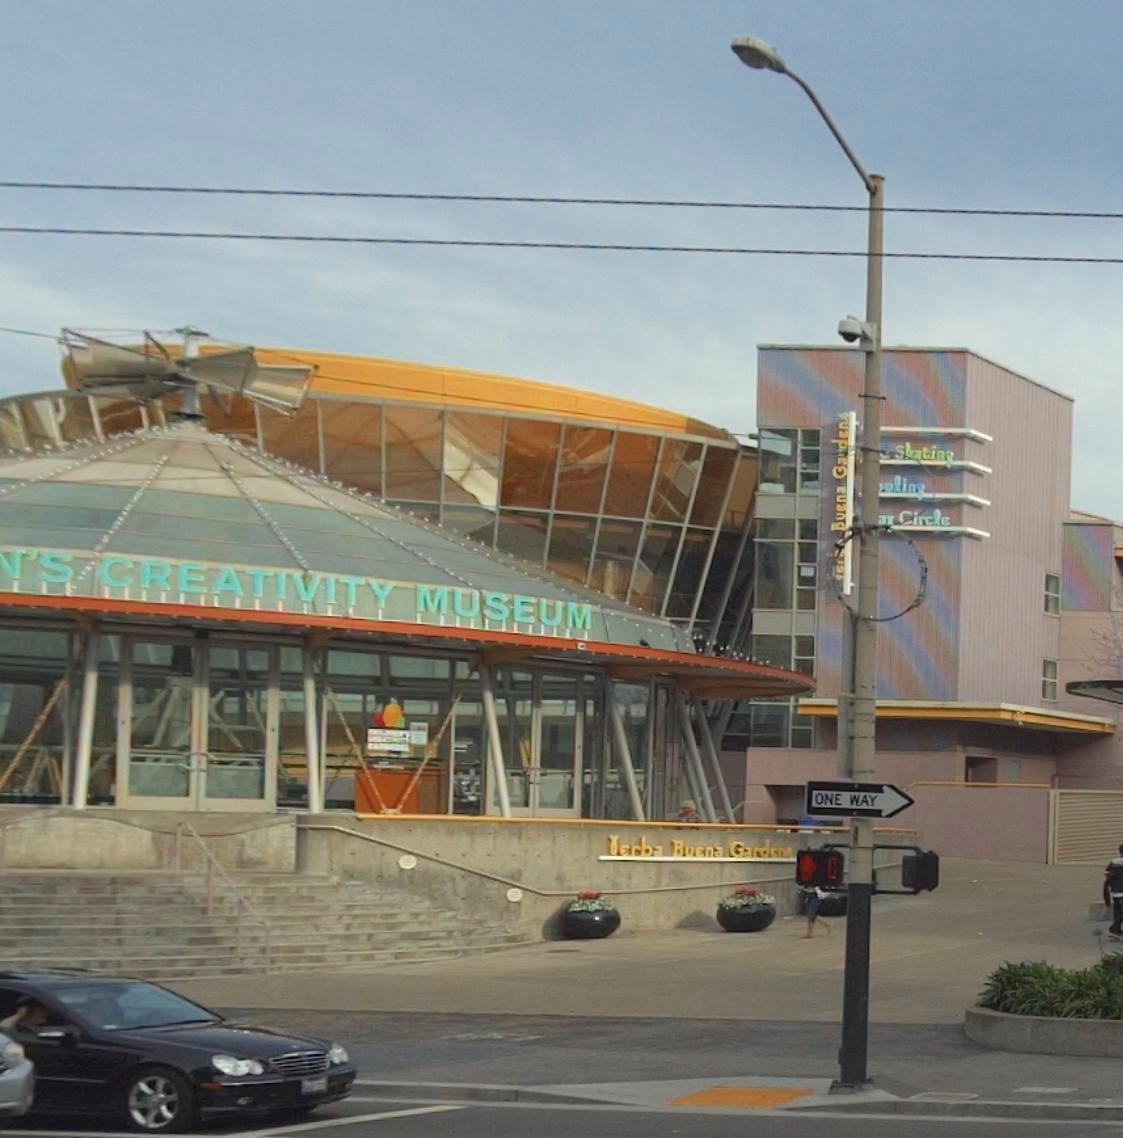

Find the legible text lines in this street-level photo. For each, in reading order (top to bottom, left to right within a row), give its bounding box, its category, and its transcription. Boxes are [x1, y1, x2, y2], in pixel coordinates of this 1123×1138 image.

[828, 408, 852, 532] BusinessName: Buena Ga*dens
[891, 439, 956, 473] None: Skating
[880, 473, 927, 505] None: wling
[895, 506, 953, 528] None: Circle
[33, 545, 594, 634] BusinessName: S CREATIVITY MUSEUM
[812, 790, 880, 808] None: ONE WAY
[604, 830, 796, 860] BusinessName: *Erbe BuEna GardE**
[824, 854, 842, 882] None: 0